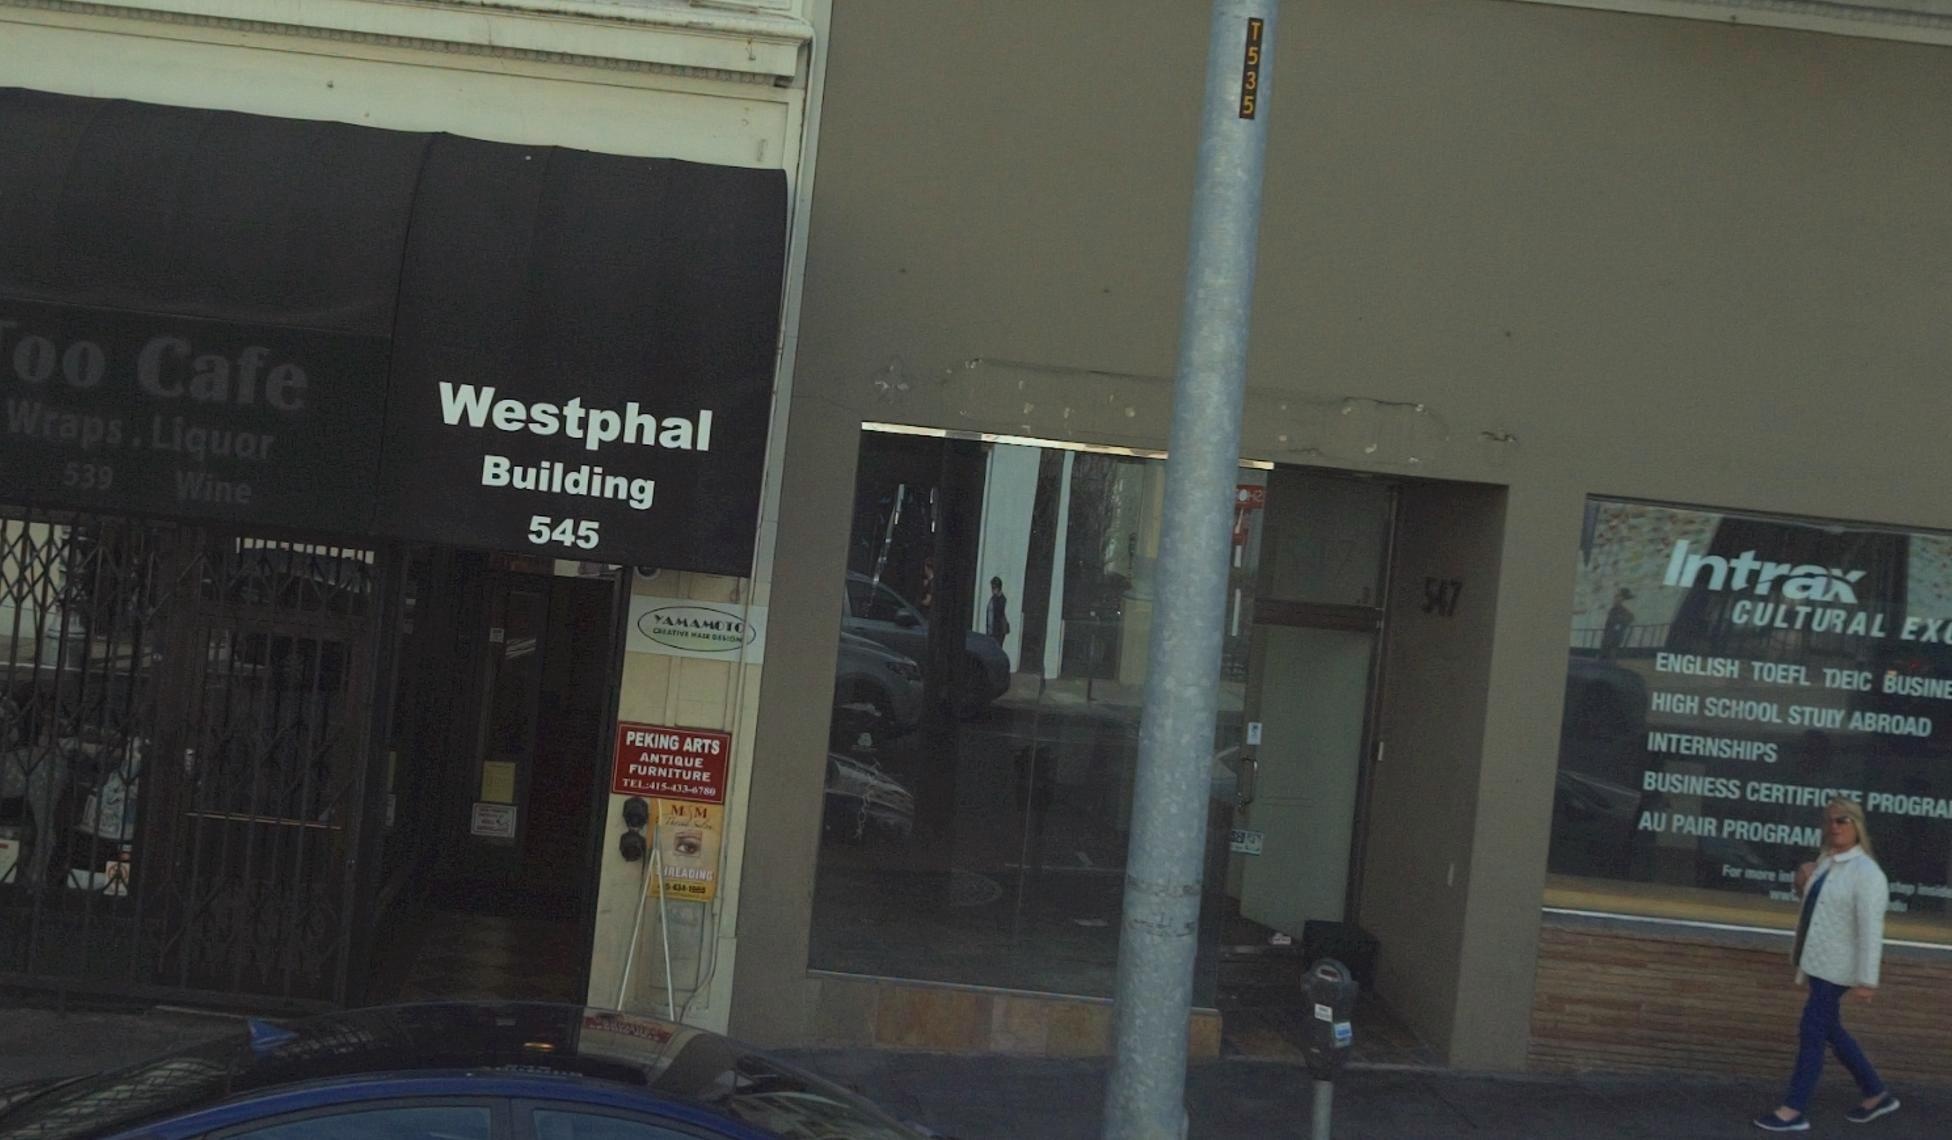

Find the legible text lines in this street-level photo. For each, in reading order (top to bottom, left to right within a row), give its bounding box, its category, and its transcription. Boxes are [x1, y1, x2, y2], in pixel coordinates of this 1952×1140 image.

[7, 324, 116, 400] BusinessName: oo
[122, 323, 322, 428] BusinessName: Cafe
[2, 389, 135, 460] None: Wraps
[141, 410, 288, 474] None: Liquor
[431, 370, 721, 462] None: Westphal
[56, 454, 121, 495] None: 539
[165, 465, 261, 515] None: Wine
[474, 443, 663, 517] None: Building
[522, 507, 607, 554] StreetNumber: 545
[649, 610, 747, 638] None: YAMAMOTO
[1418, 570, 1470, 627] StreetNumber: 547
[1654, 533, 1875, 615] BusinessName: Intrax
[1721, 596, 1950, 650] BusinessName: CULTURAL EX
[1651, 642, 1949, 705] None: ENGLISH TOEFL TJEIC BUSIN
[1644, 681, 1935, 747] None: HIGH SCHOOL STU*Y ABROAD
[620, 775, 718, 801] None: TEL.: 415-433-6780
[627, 761, 714, 787] None: FURNITURE
[637, 749, 709, 774] None: ANTIQUE
[623, 727, 724, 760] BusinessName: PERKING ARTS
[668, 800, 712, 825] None: M M
[1640, 725, 1785, 769] None: INTERNSHIPS
[1632, 805, 1826, 856] None: AU PAIR PROGRAM
[1635, 766, 1949, 825] None: BUSINESS CERTIFI*** PROGRA
[670, 881, 688, 894] None: 43
[665, 862, 716, 886] None: READING
[1717, 858, 1796, 887] None: For more in
[1887, 878, 1917, 902] None: st*p